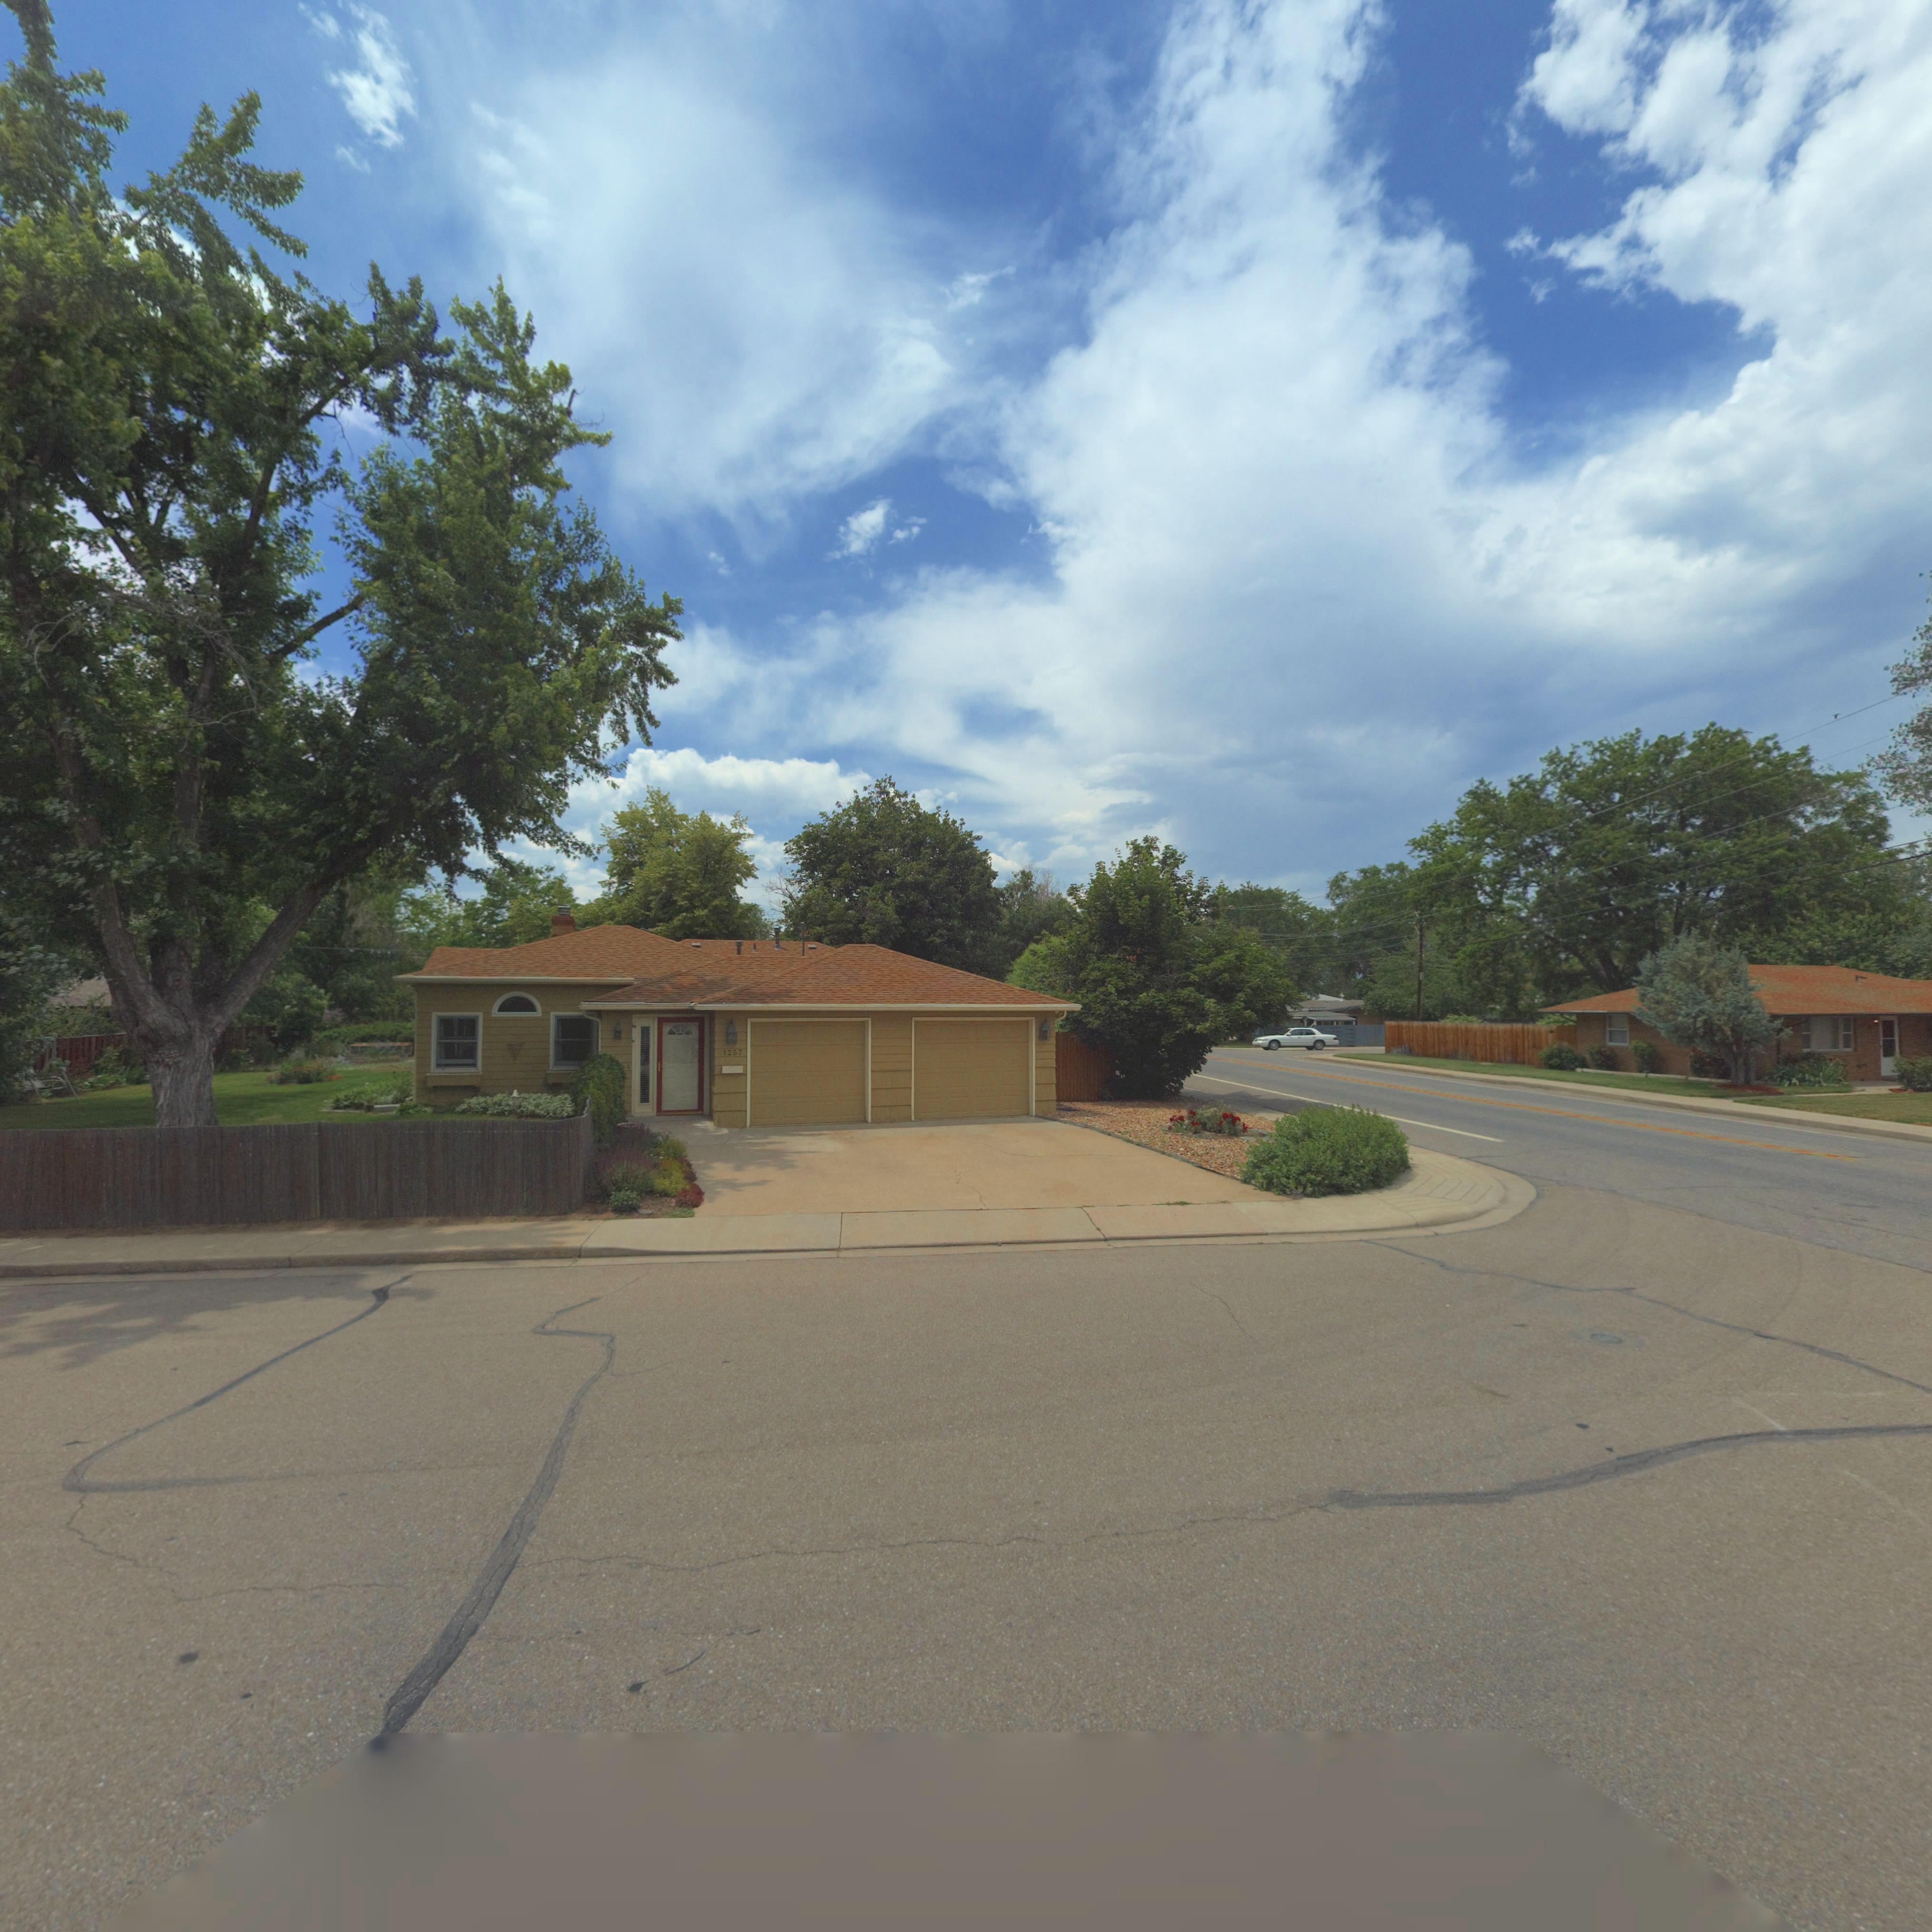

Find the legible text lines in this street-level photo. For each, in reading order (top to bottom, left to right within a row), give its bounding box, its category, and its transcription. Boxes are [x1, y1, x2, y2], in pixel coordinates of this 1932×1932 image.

[723, 1049, 743, 1055] StreetNumber: 1257